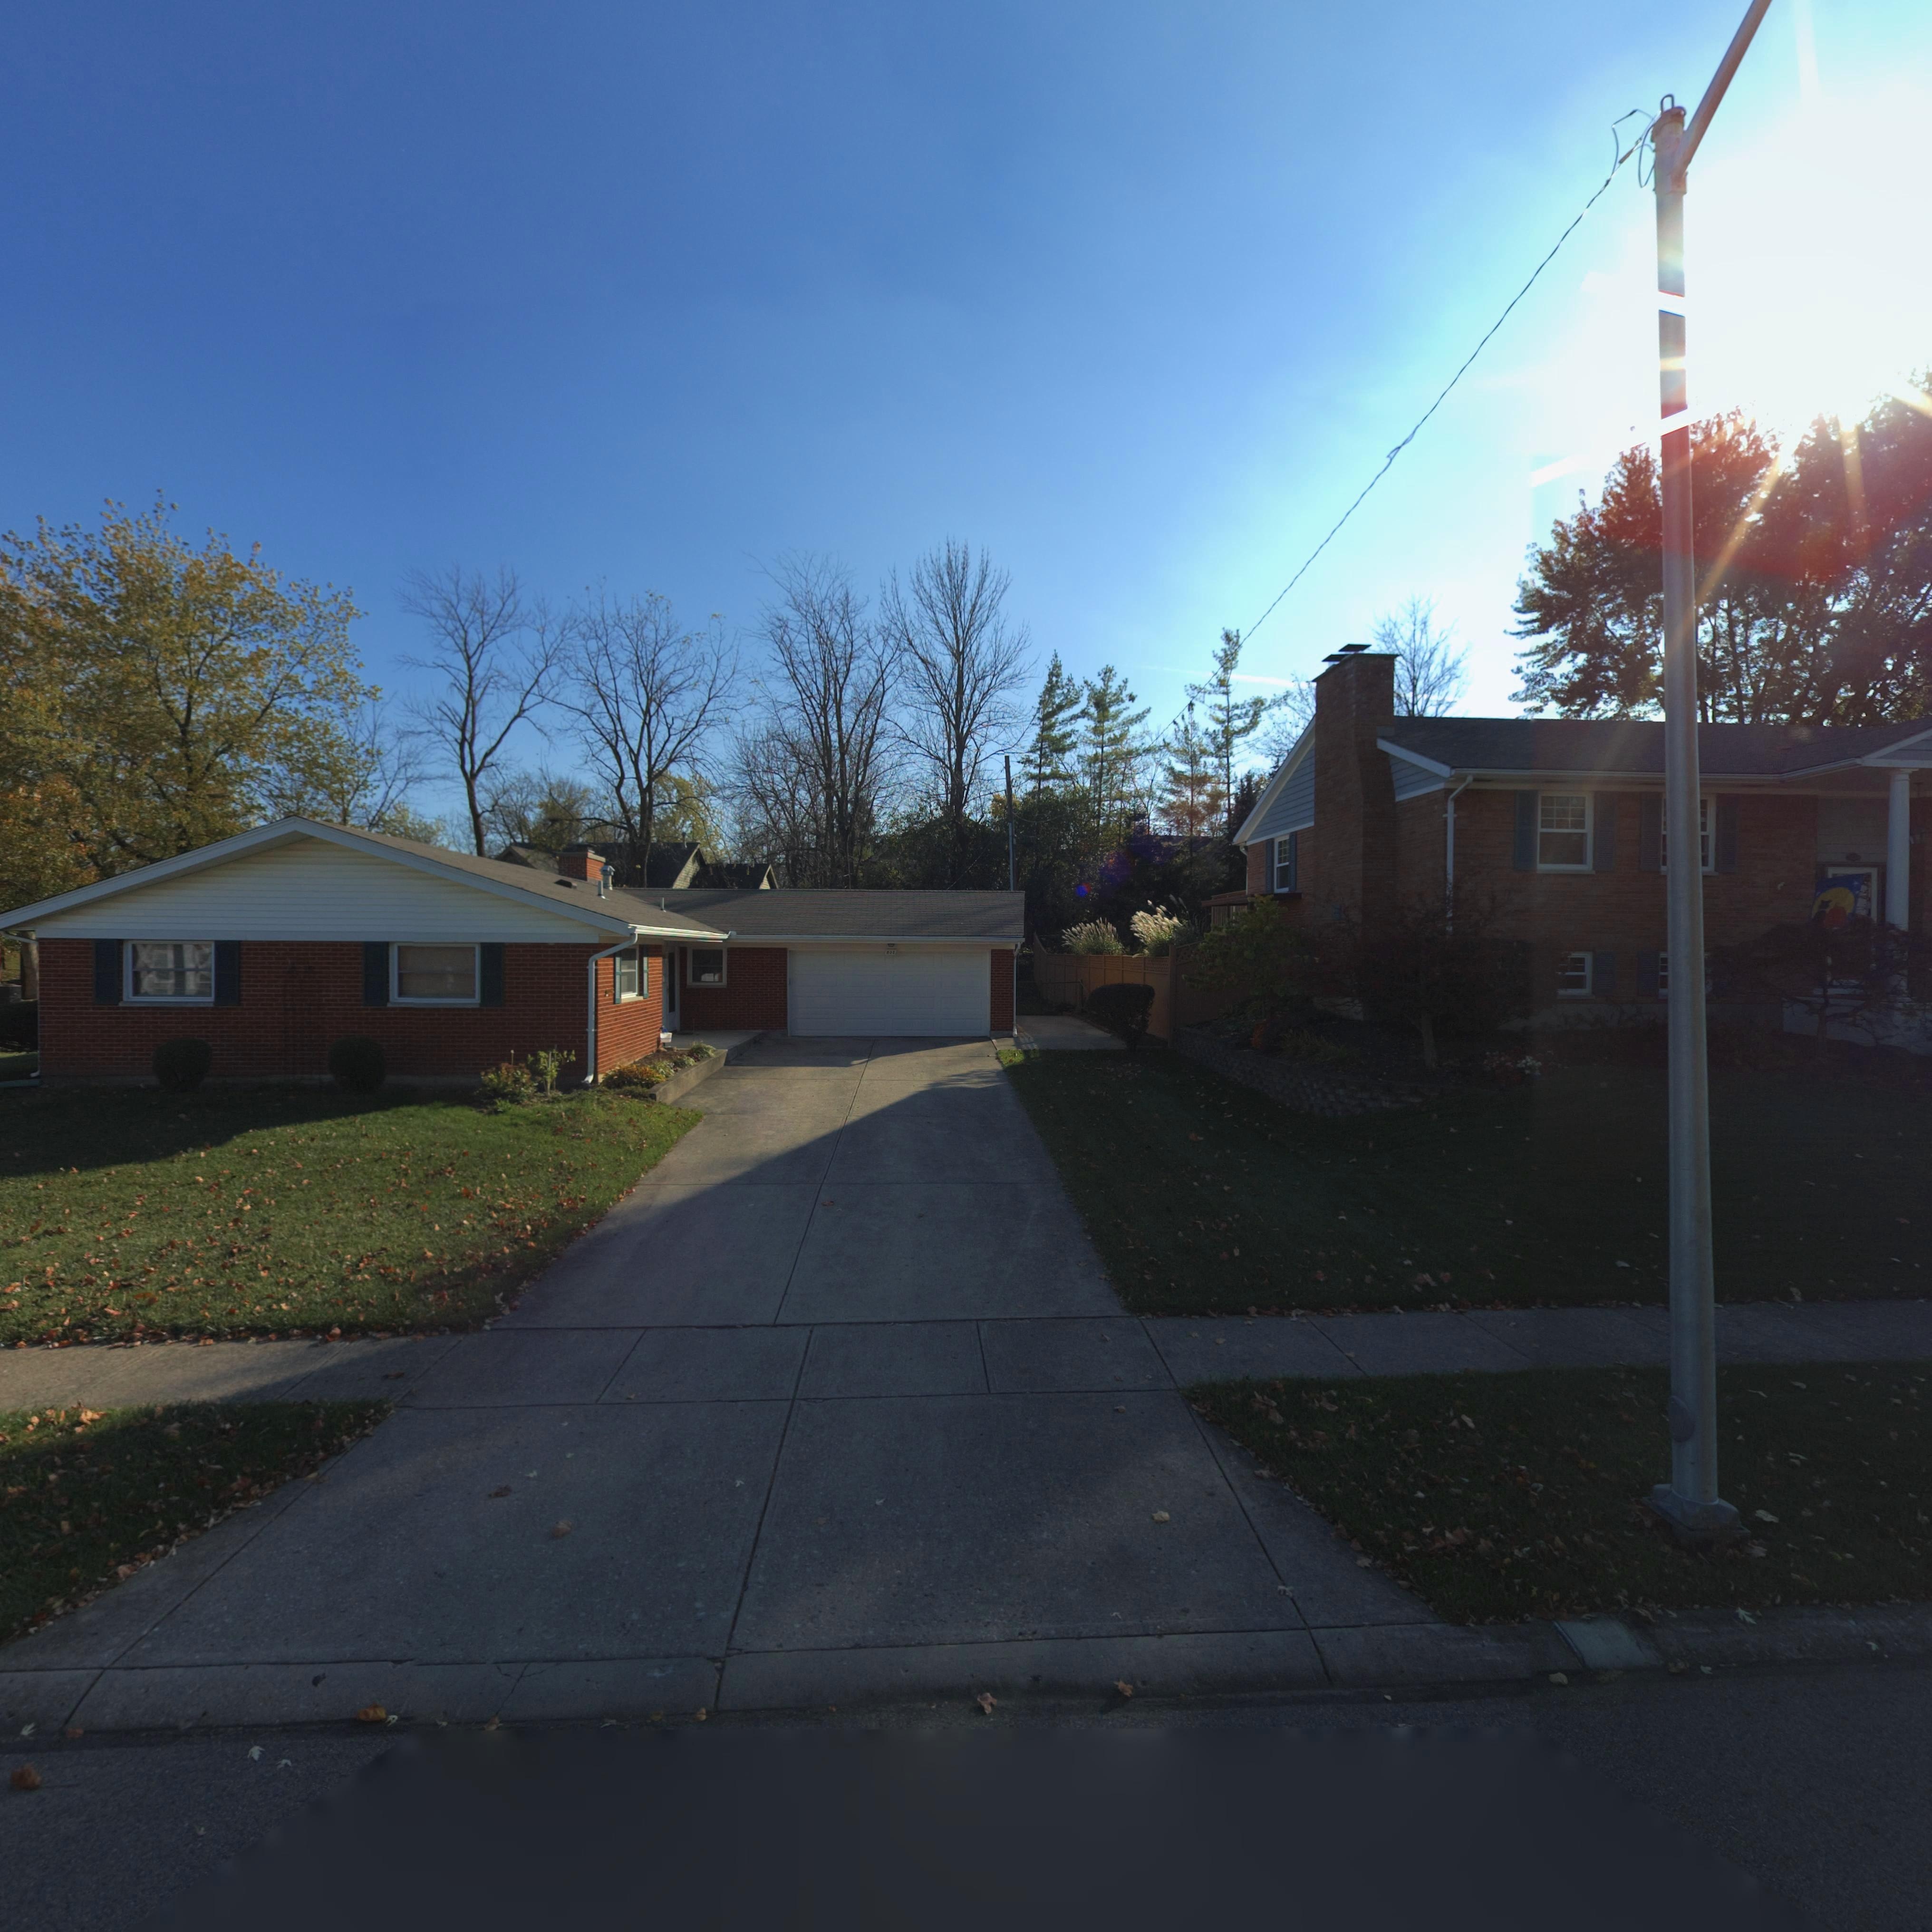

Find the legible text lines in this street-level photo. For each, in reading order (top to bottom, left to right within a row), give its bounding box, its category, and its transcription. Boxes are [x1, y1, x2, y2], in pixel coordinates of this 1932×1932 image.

[886, 950, 895, 955] StreetNumber: 80*